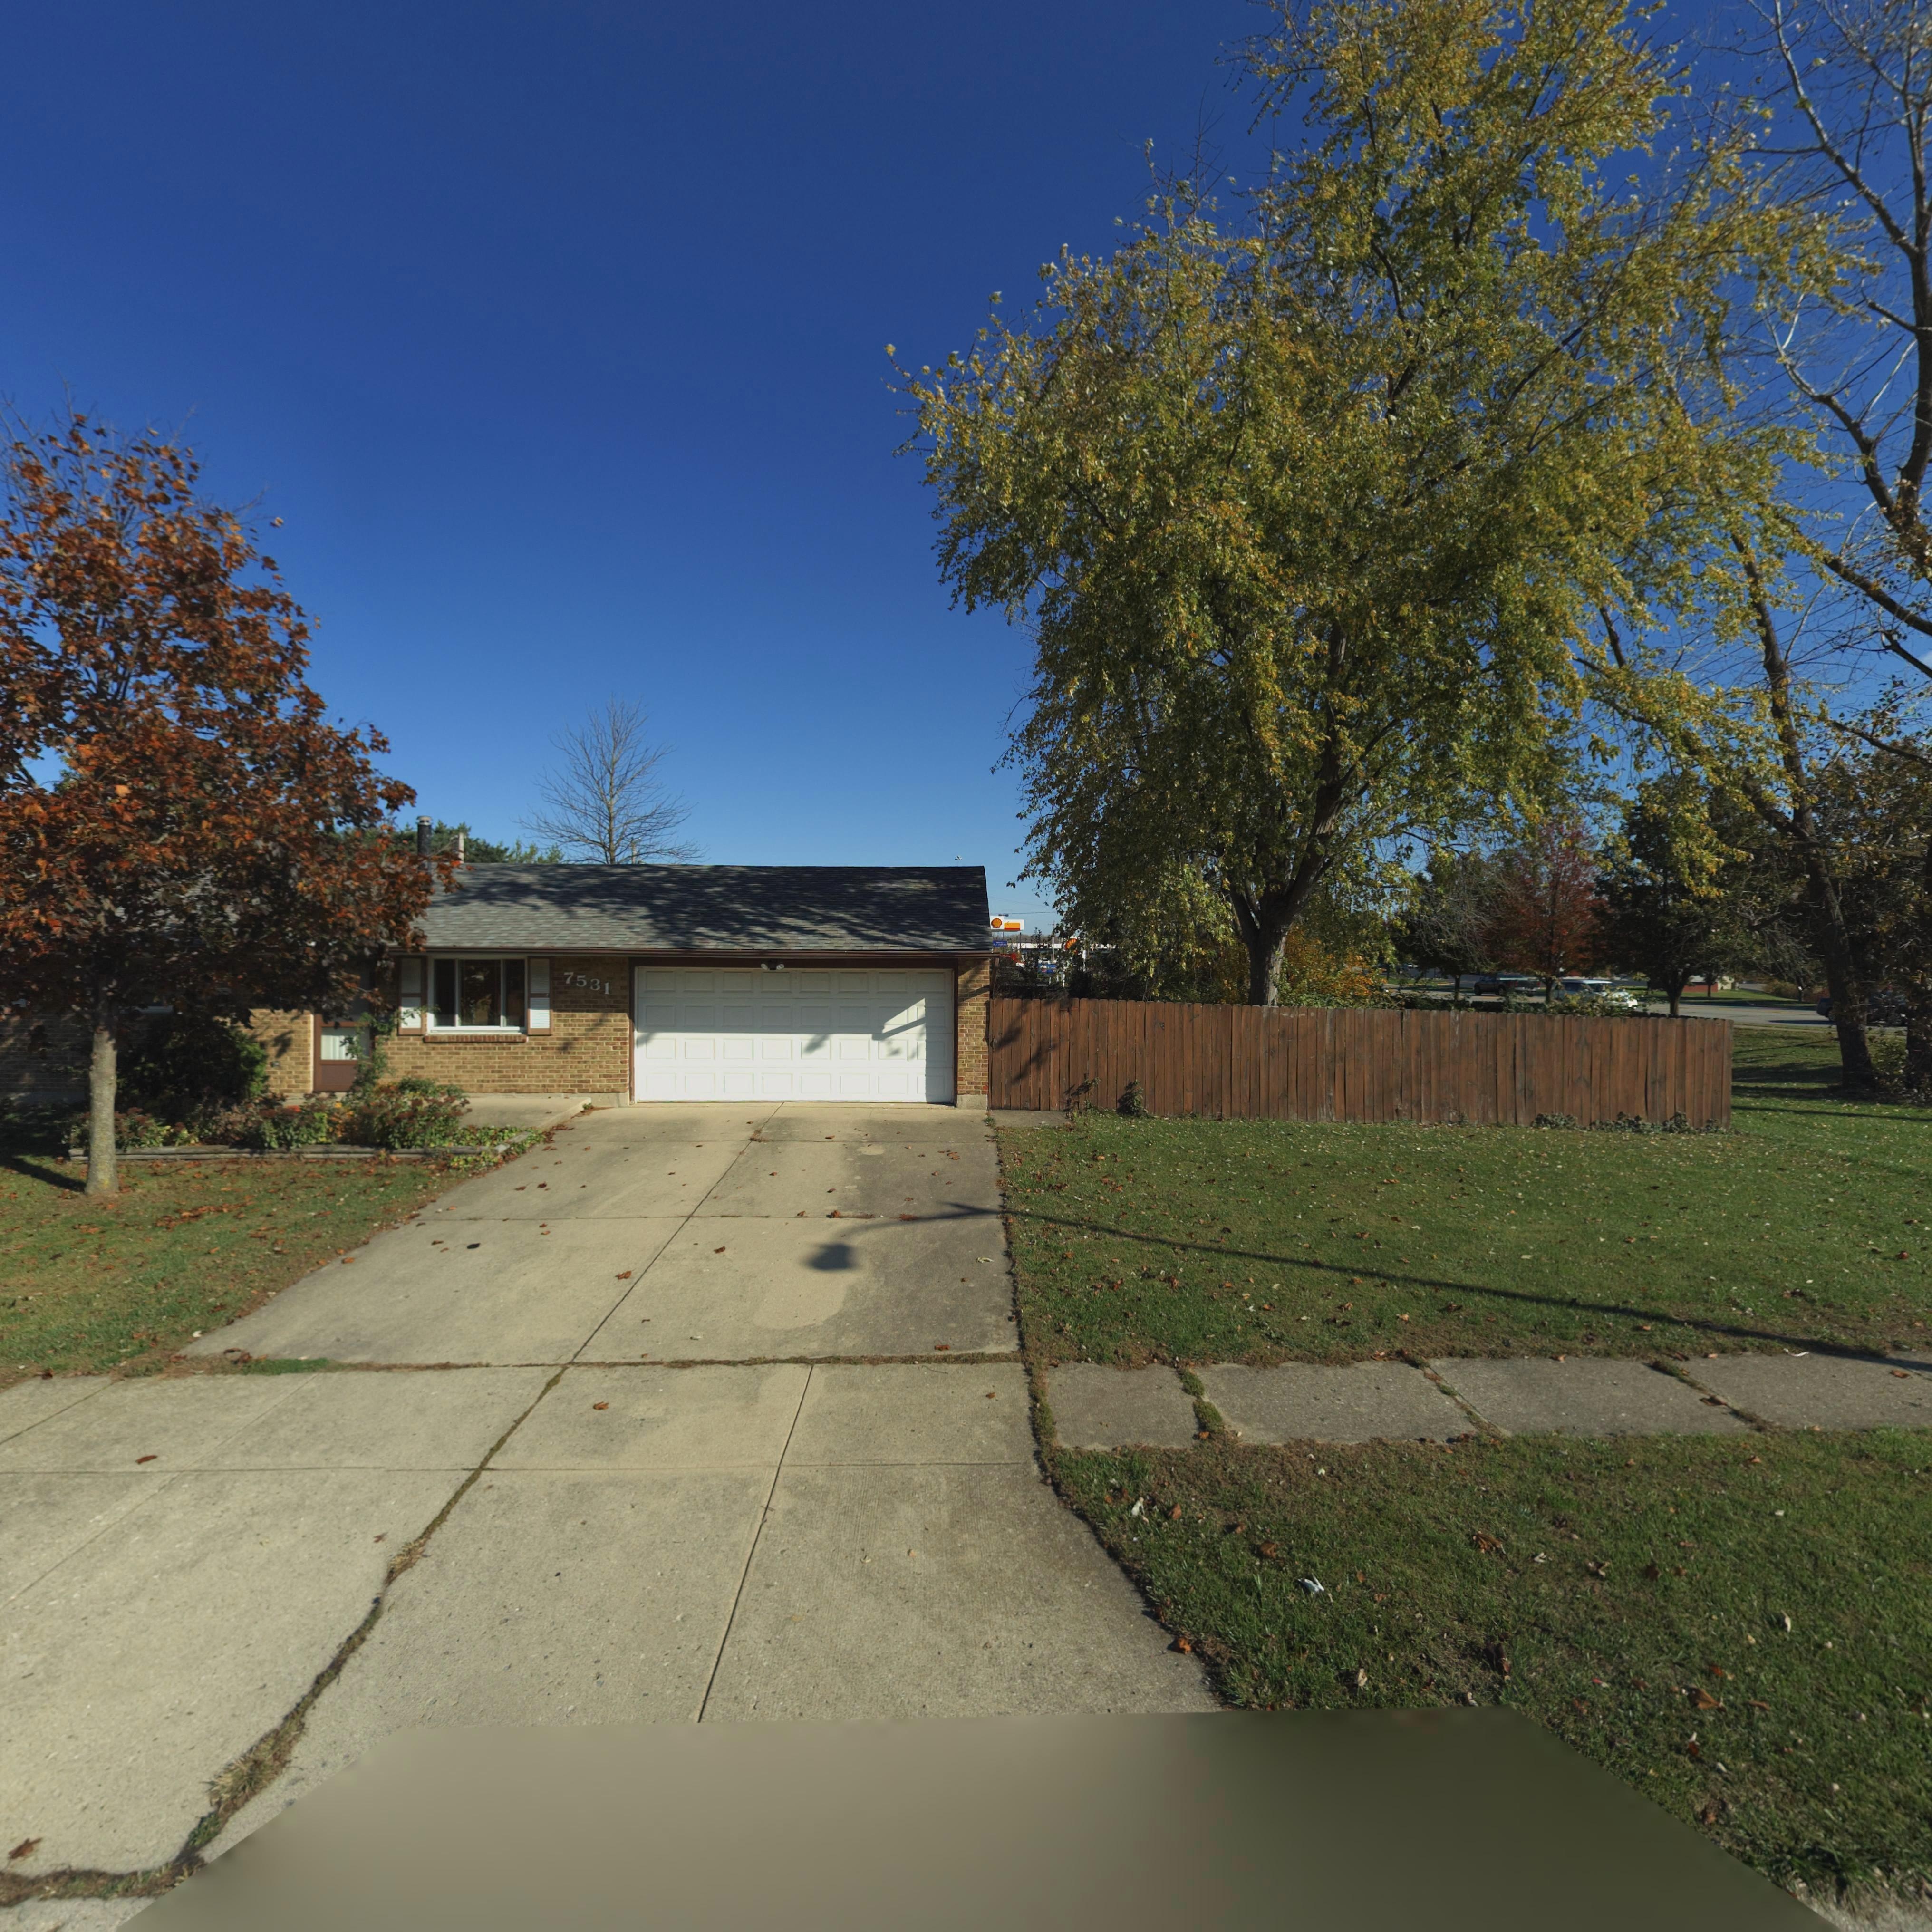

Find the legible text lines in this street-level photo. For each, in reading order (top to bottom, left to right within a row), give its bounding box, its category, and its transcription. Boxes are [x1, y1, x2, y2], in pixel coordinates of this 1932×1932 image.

[562, 970, 610, 995] StreetNumber: 7531